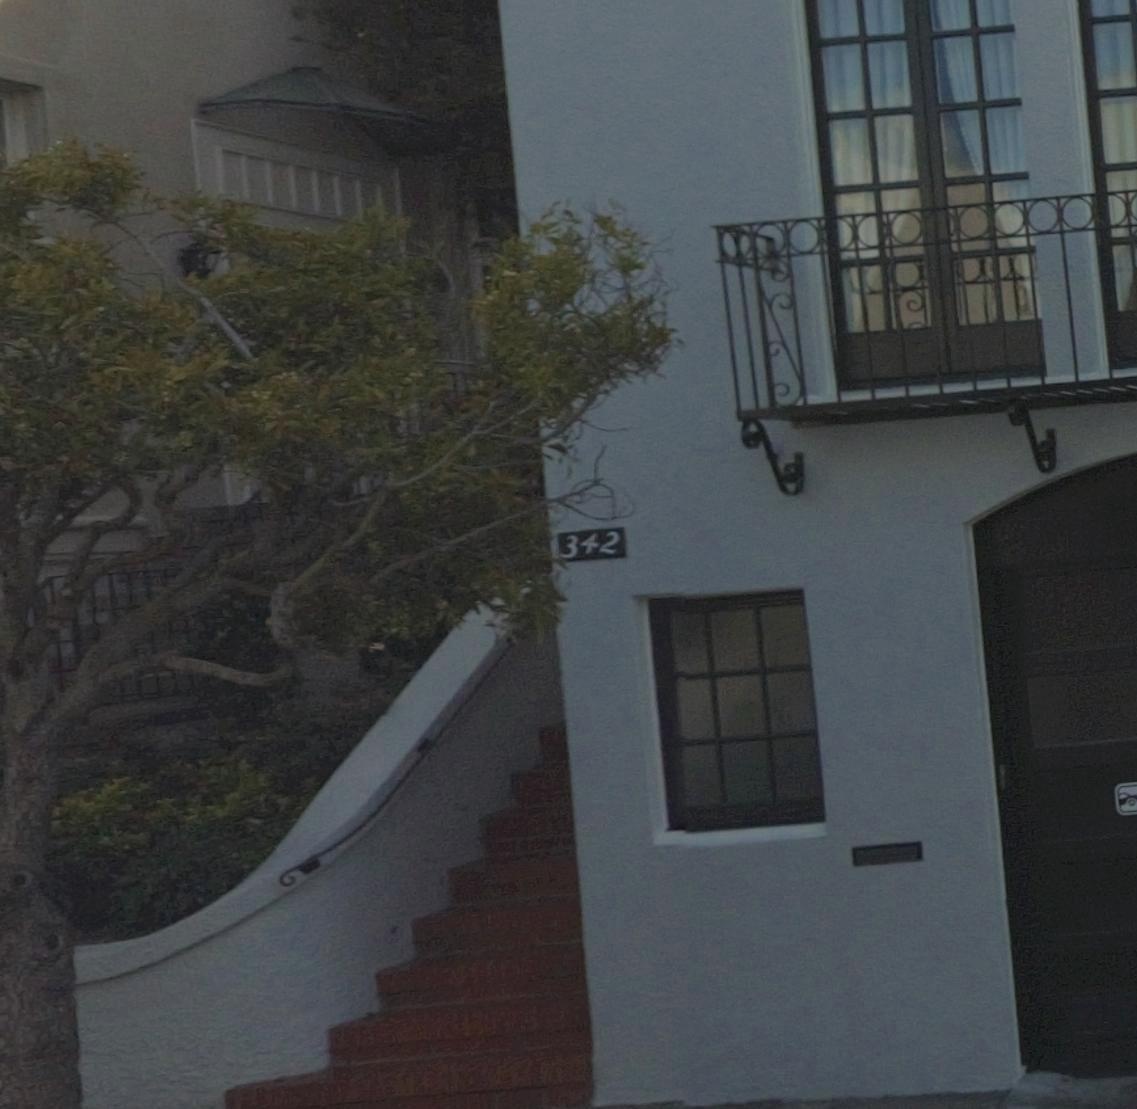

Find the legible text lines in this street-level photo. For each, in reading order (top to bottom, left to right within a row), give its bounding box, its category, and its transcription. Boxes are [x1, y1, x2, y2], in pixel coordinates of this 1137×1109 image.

[557, 526, 624, 561] StreetNumber: 342